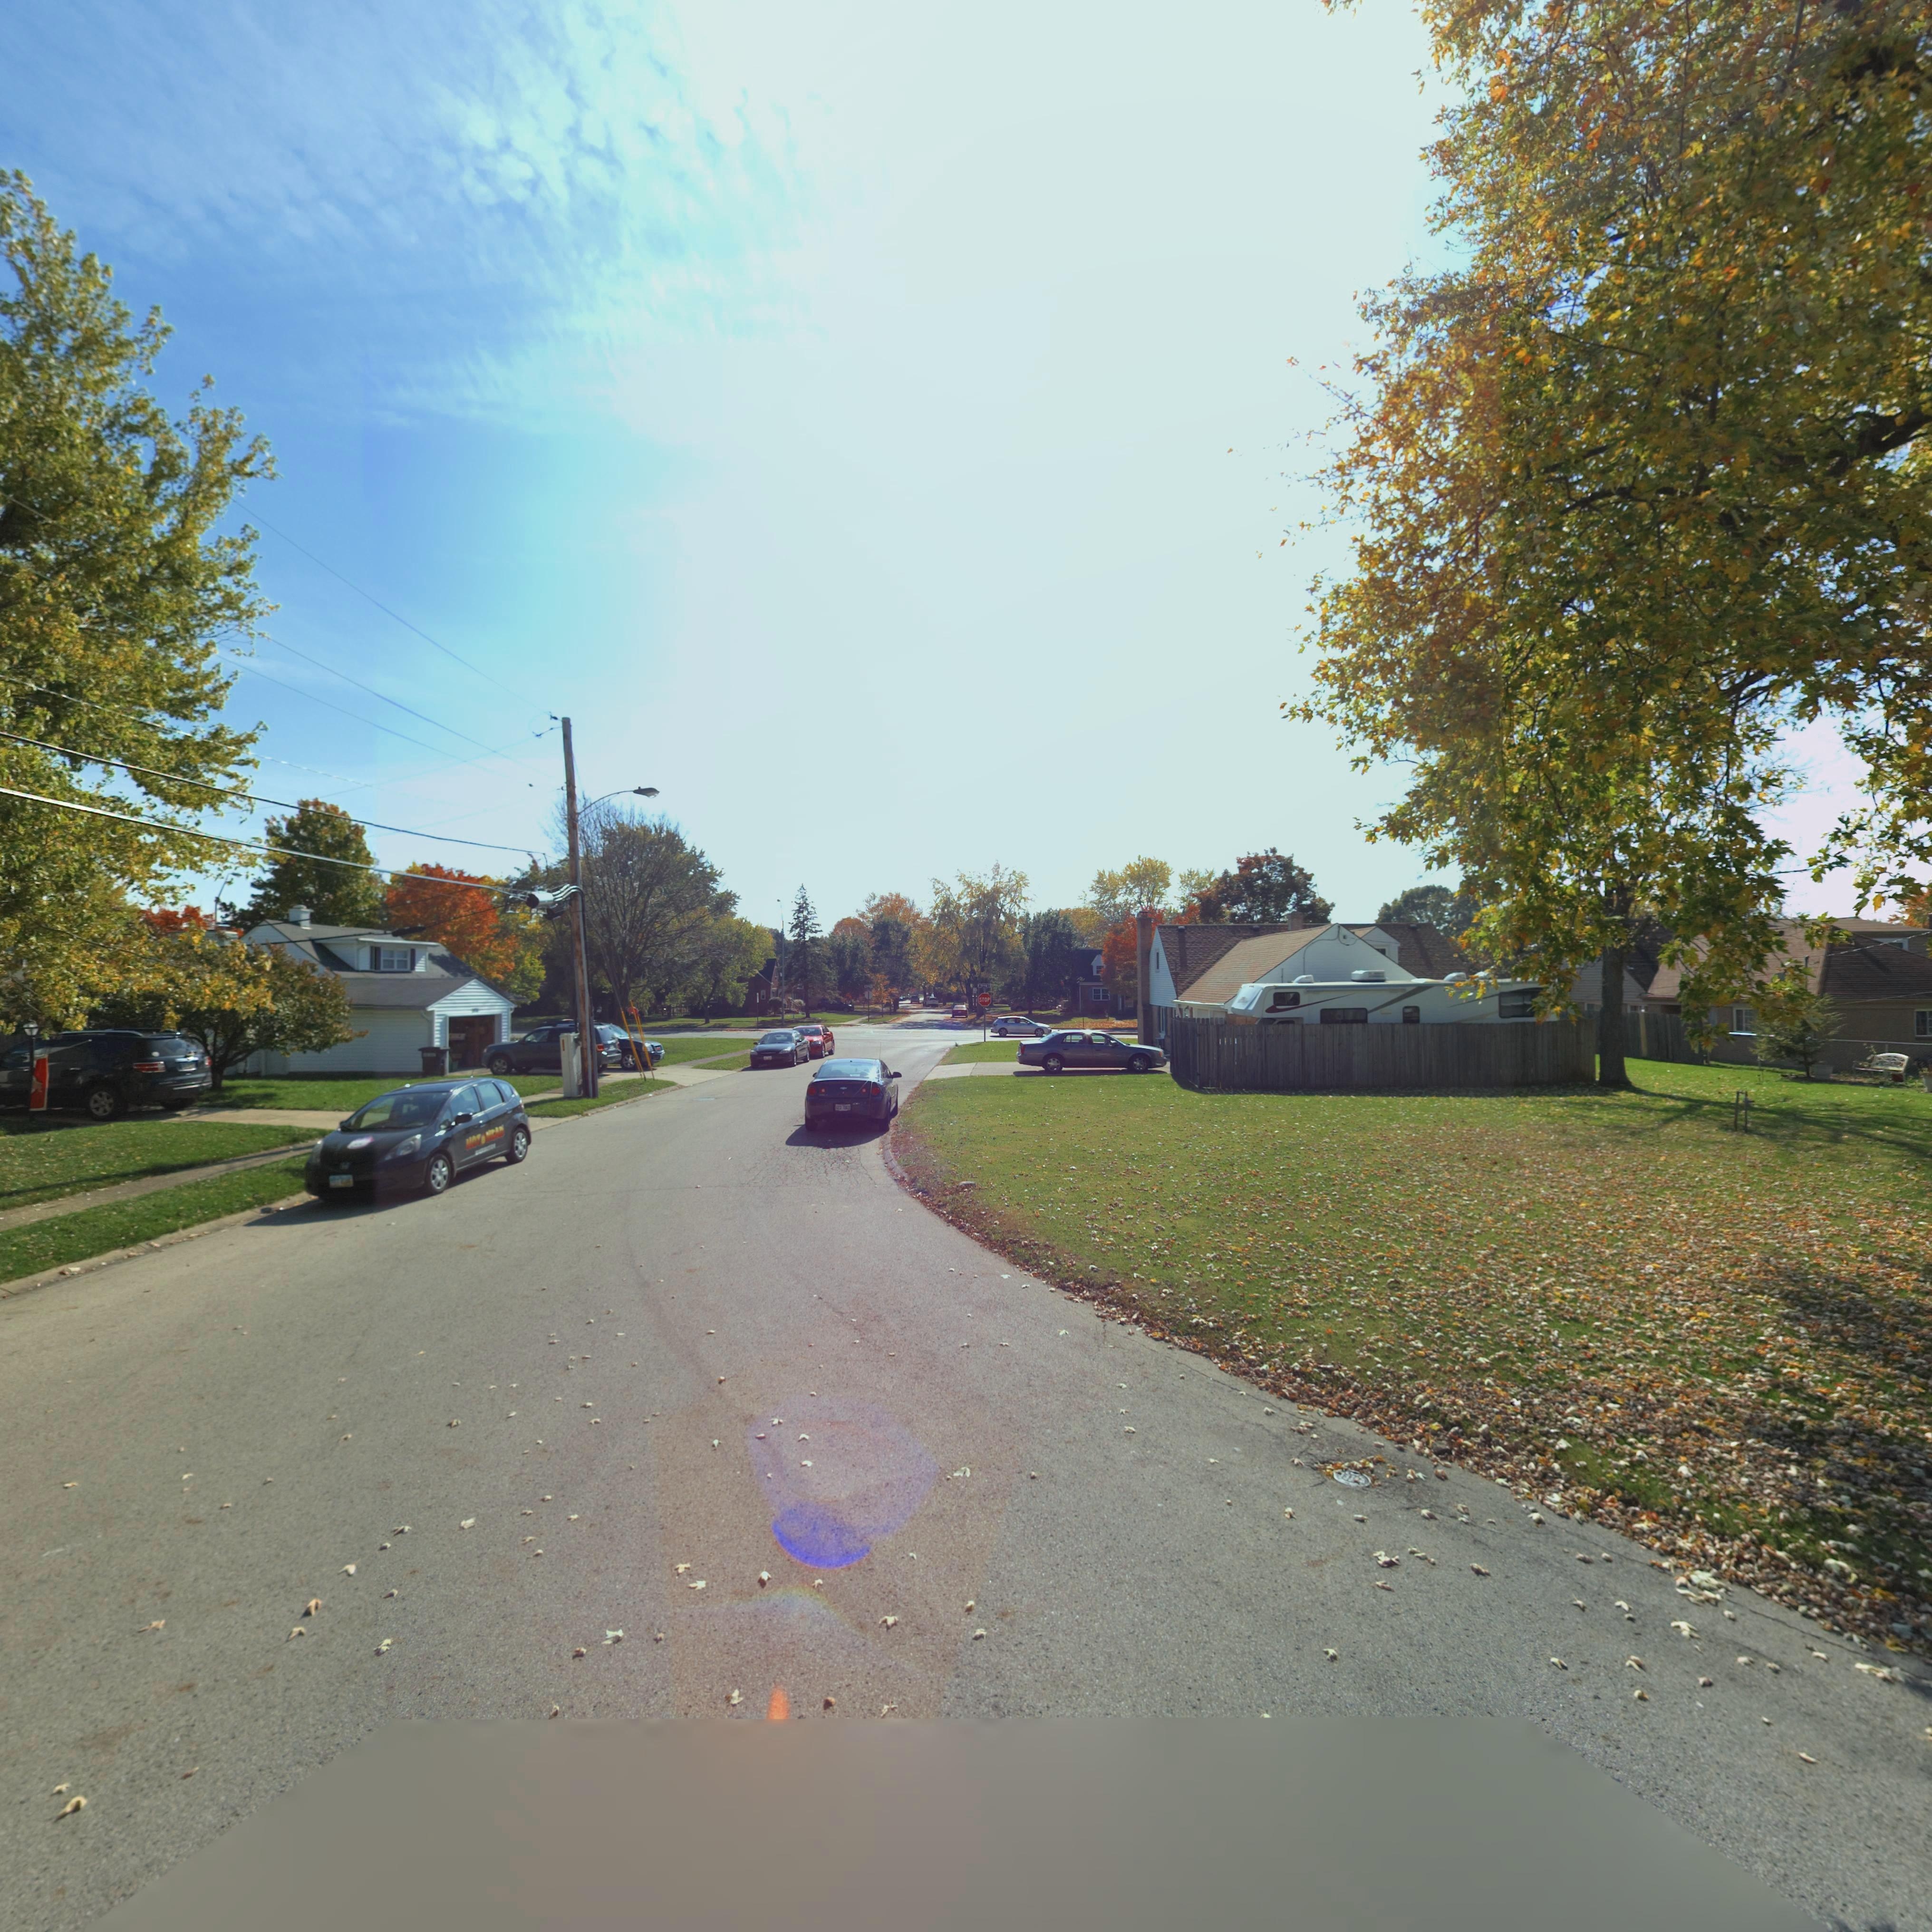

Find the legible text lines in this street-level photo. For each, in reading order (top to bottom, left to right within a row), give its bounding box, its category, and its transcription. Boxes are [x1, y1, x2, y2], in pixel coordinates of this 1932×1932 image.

[979, 996, 991, 1003] None: STOP